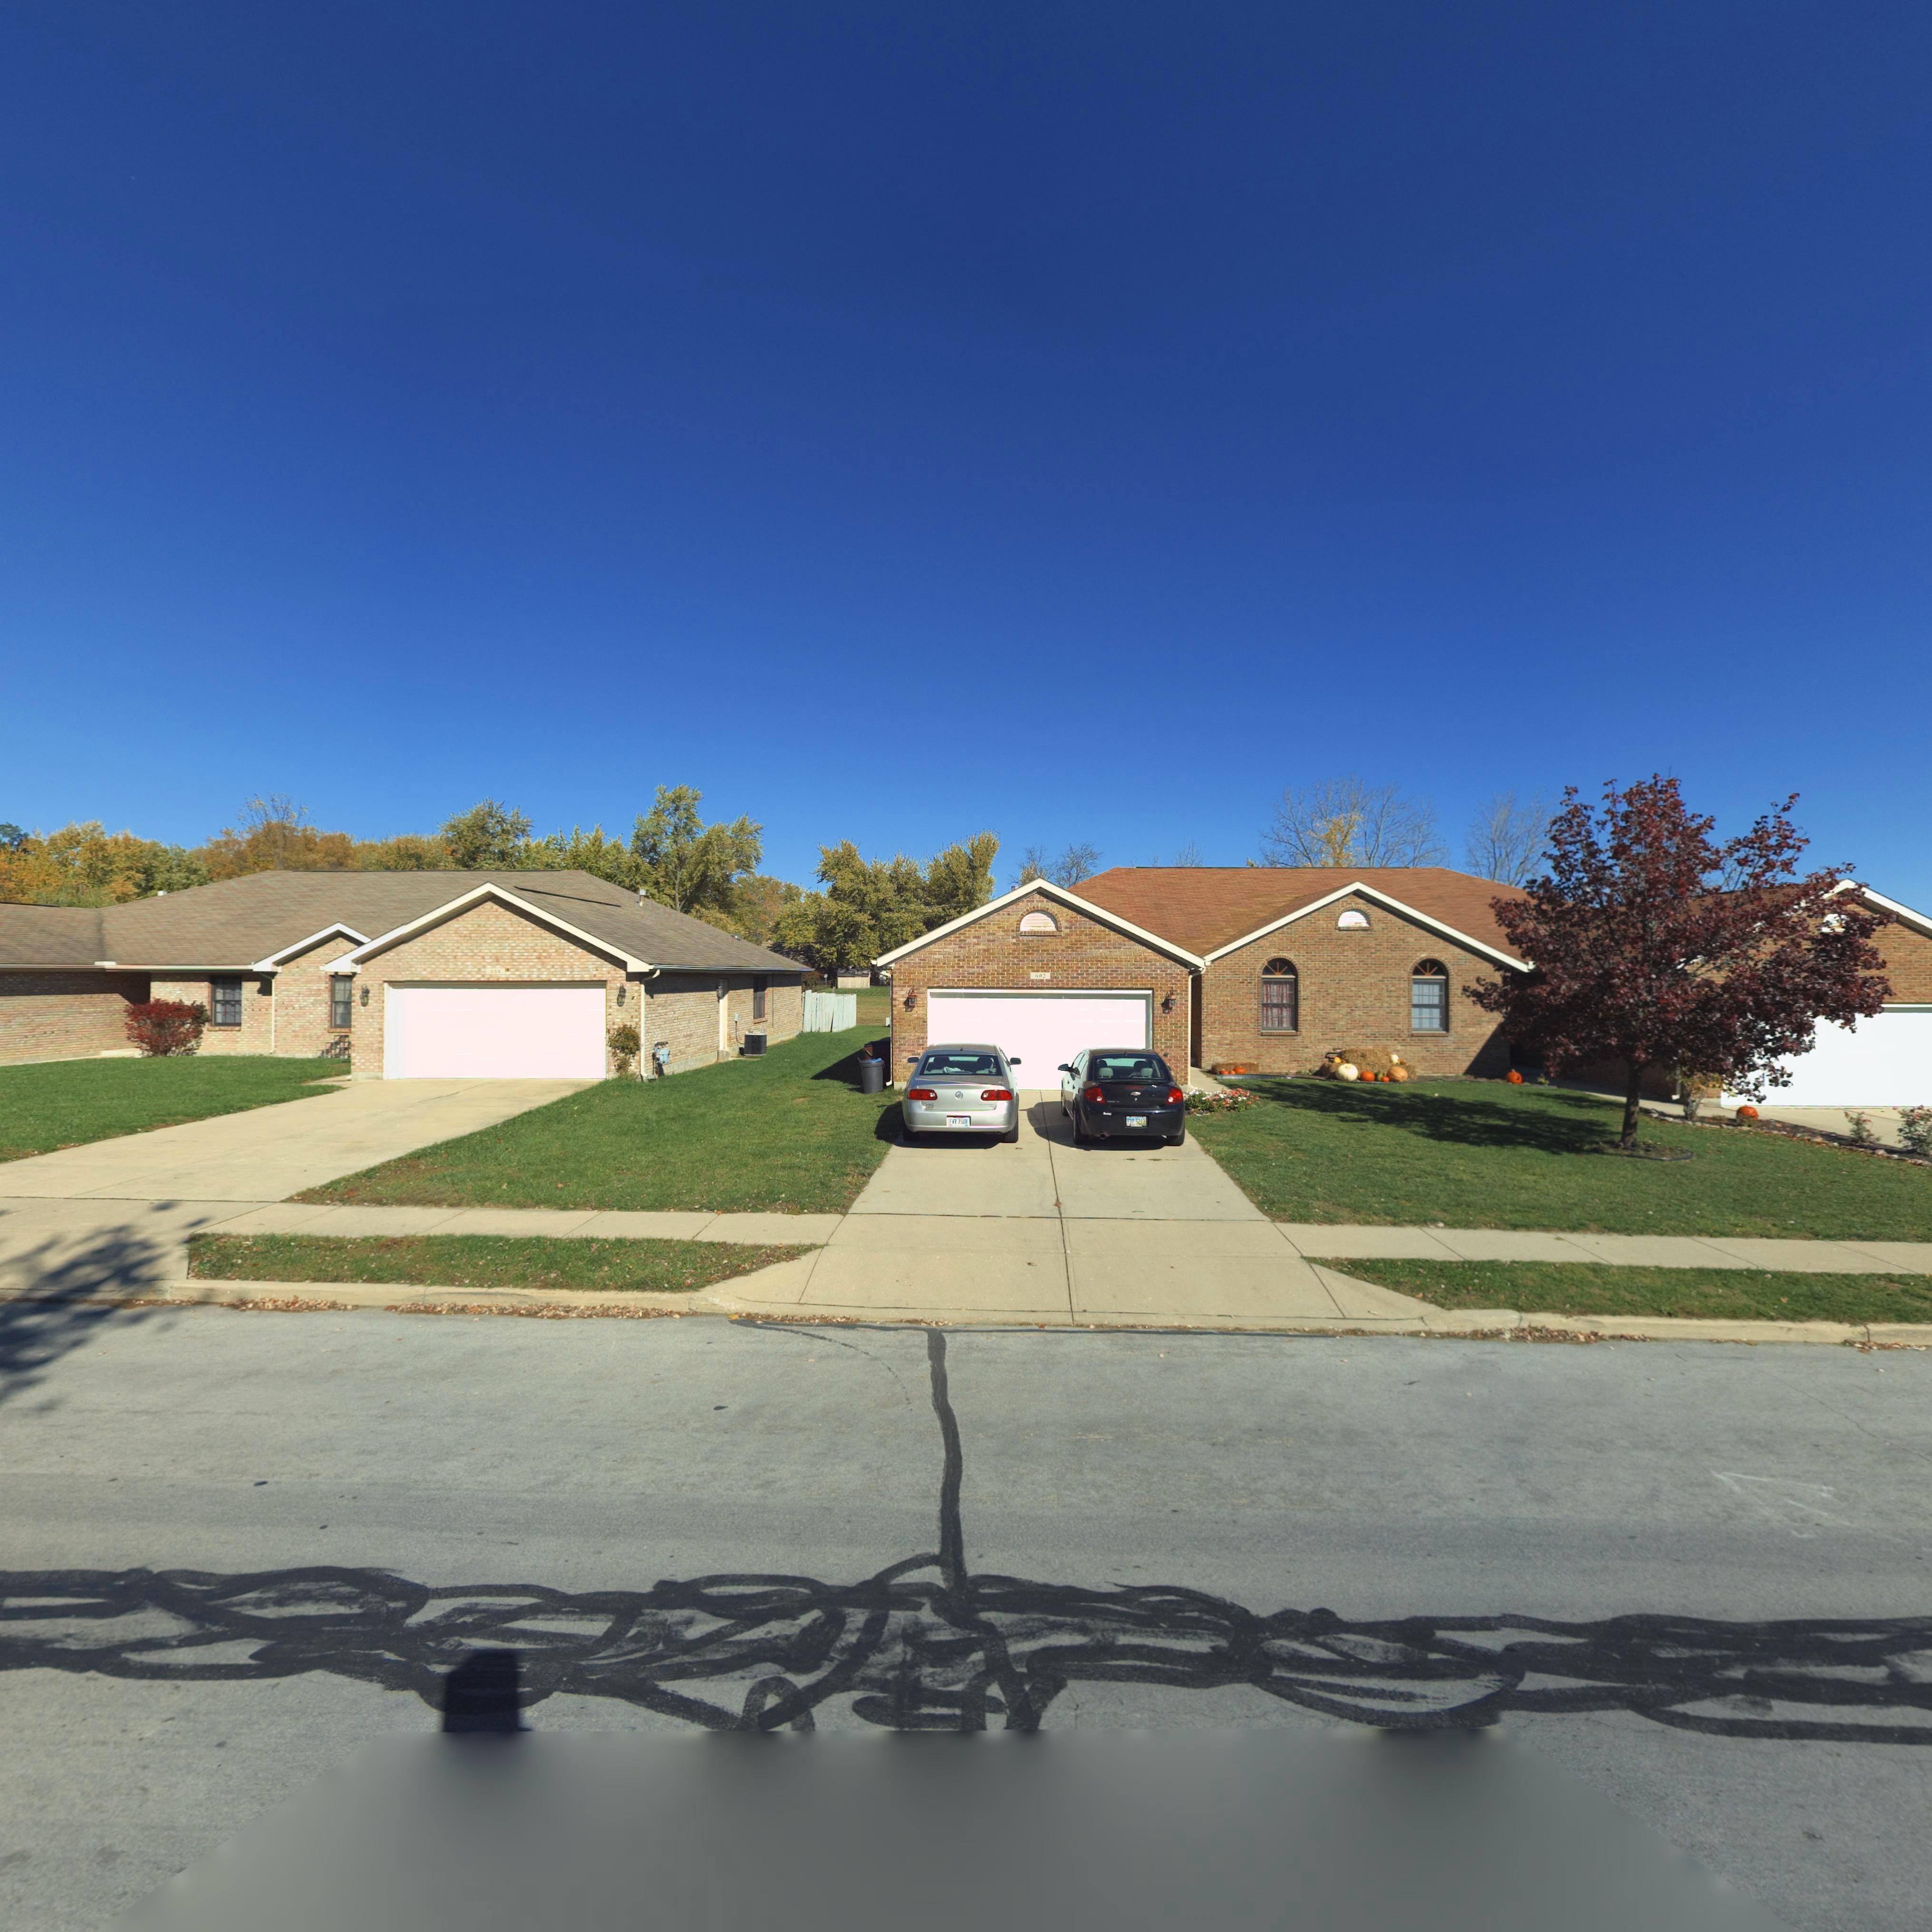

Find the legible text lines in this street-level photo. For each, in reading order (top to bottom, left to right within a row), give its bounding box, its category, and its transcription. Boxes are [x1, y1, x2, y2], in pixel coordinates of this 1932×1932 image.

[490, 969, 501, 974] StreetNumber: 604
[1034, 973, 1046, 978] StreetNumber: 602
[957, 1118, 968, 1125] None: 7508
[1135, 1118, 1146, 1125] None: 5213